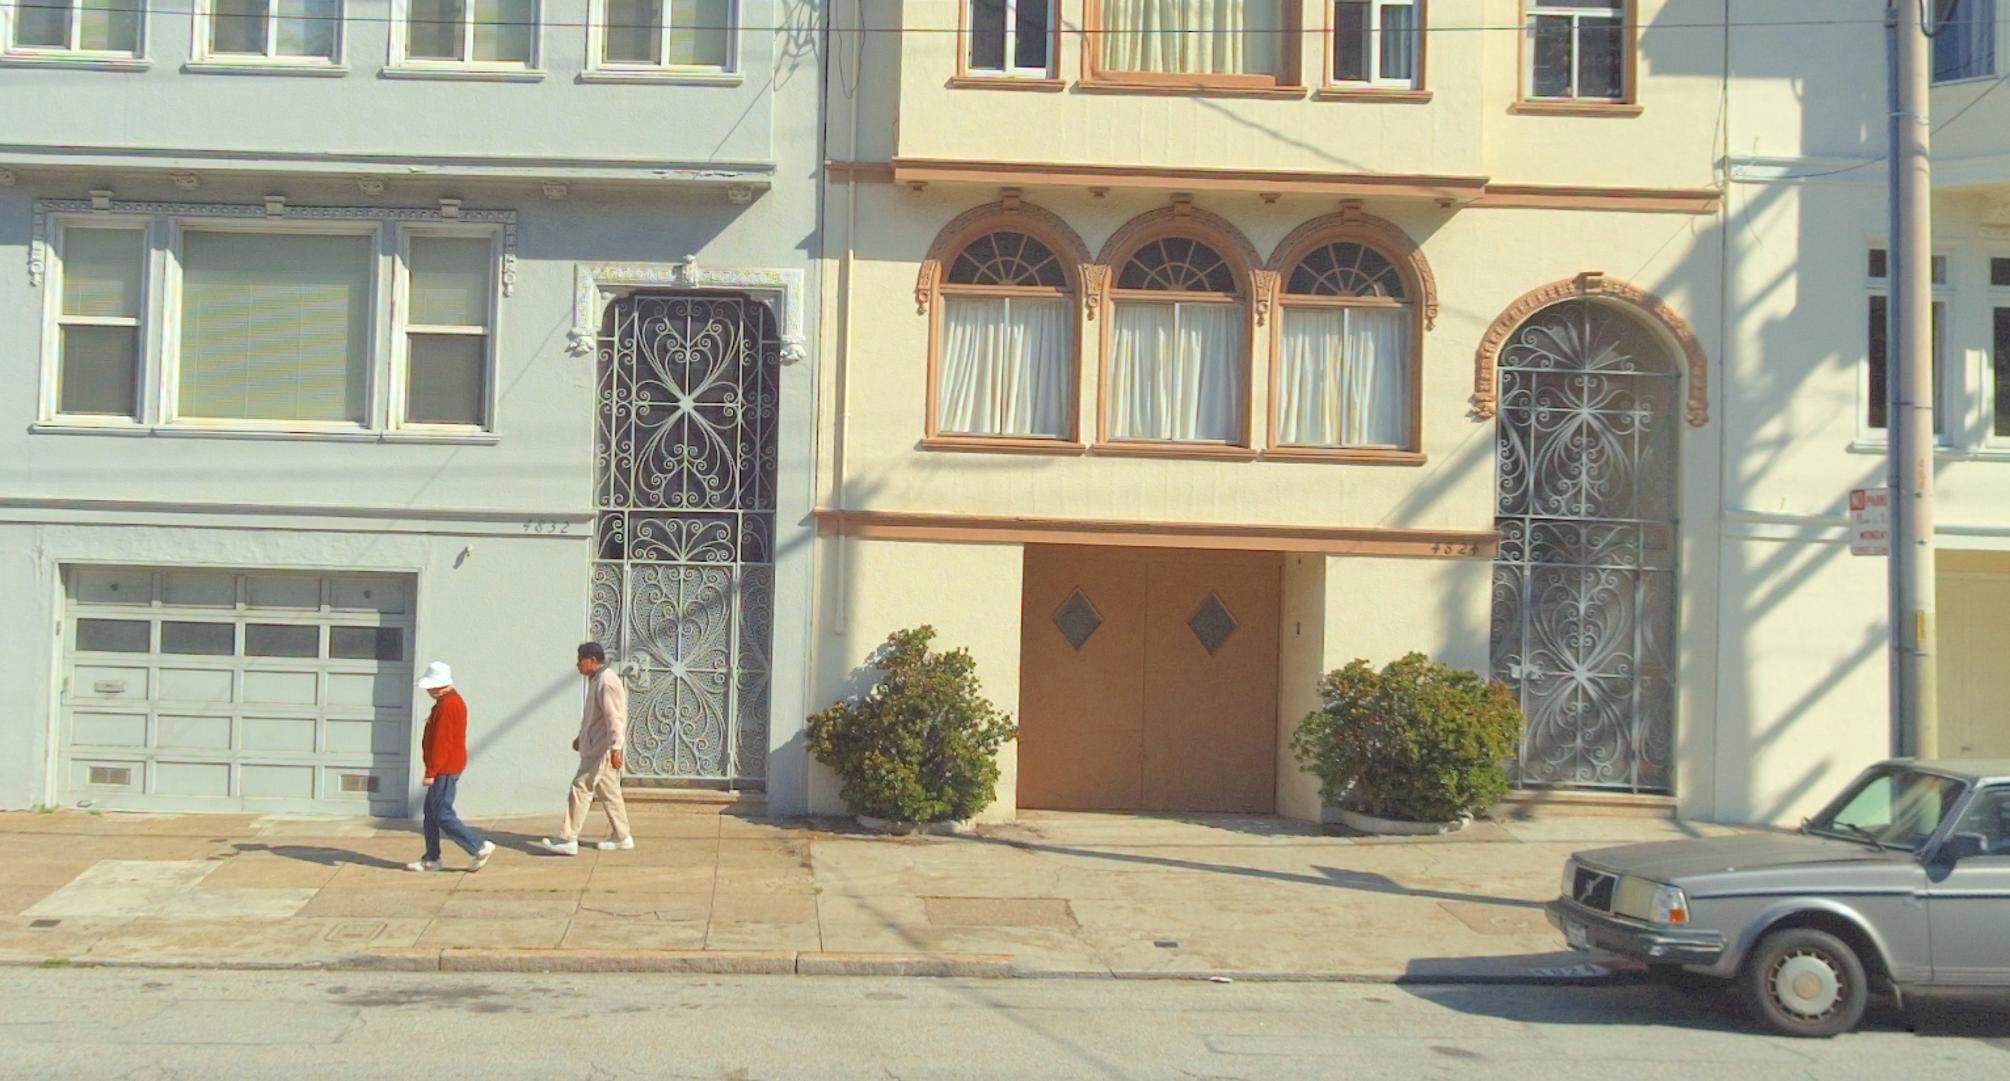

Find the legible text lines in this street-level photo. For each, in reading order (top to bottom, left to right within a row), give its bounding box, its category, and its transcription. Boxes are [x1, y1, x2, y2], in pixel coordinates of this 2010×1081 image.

[520, 516, 573, 534] StreetNumber: 4832
[1430, 538, 1481, 557] StreetNumber: 4824